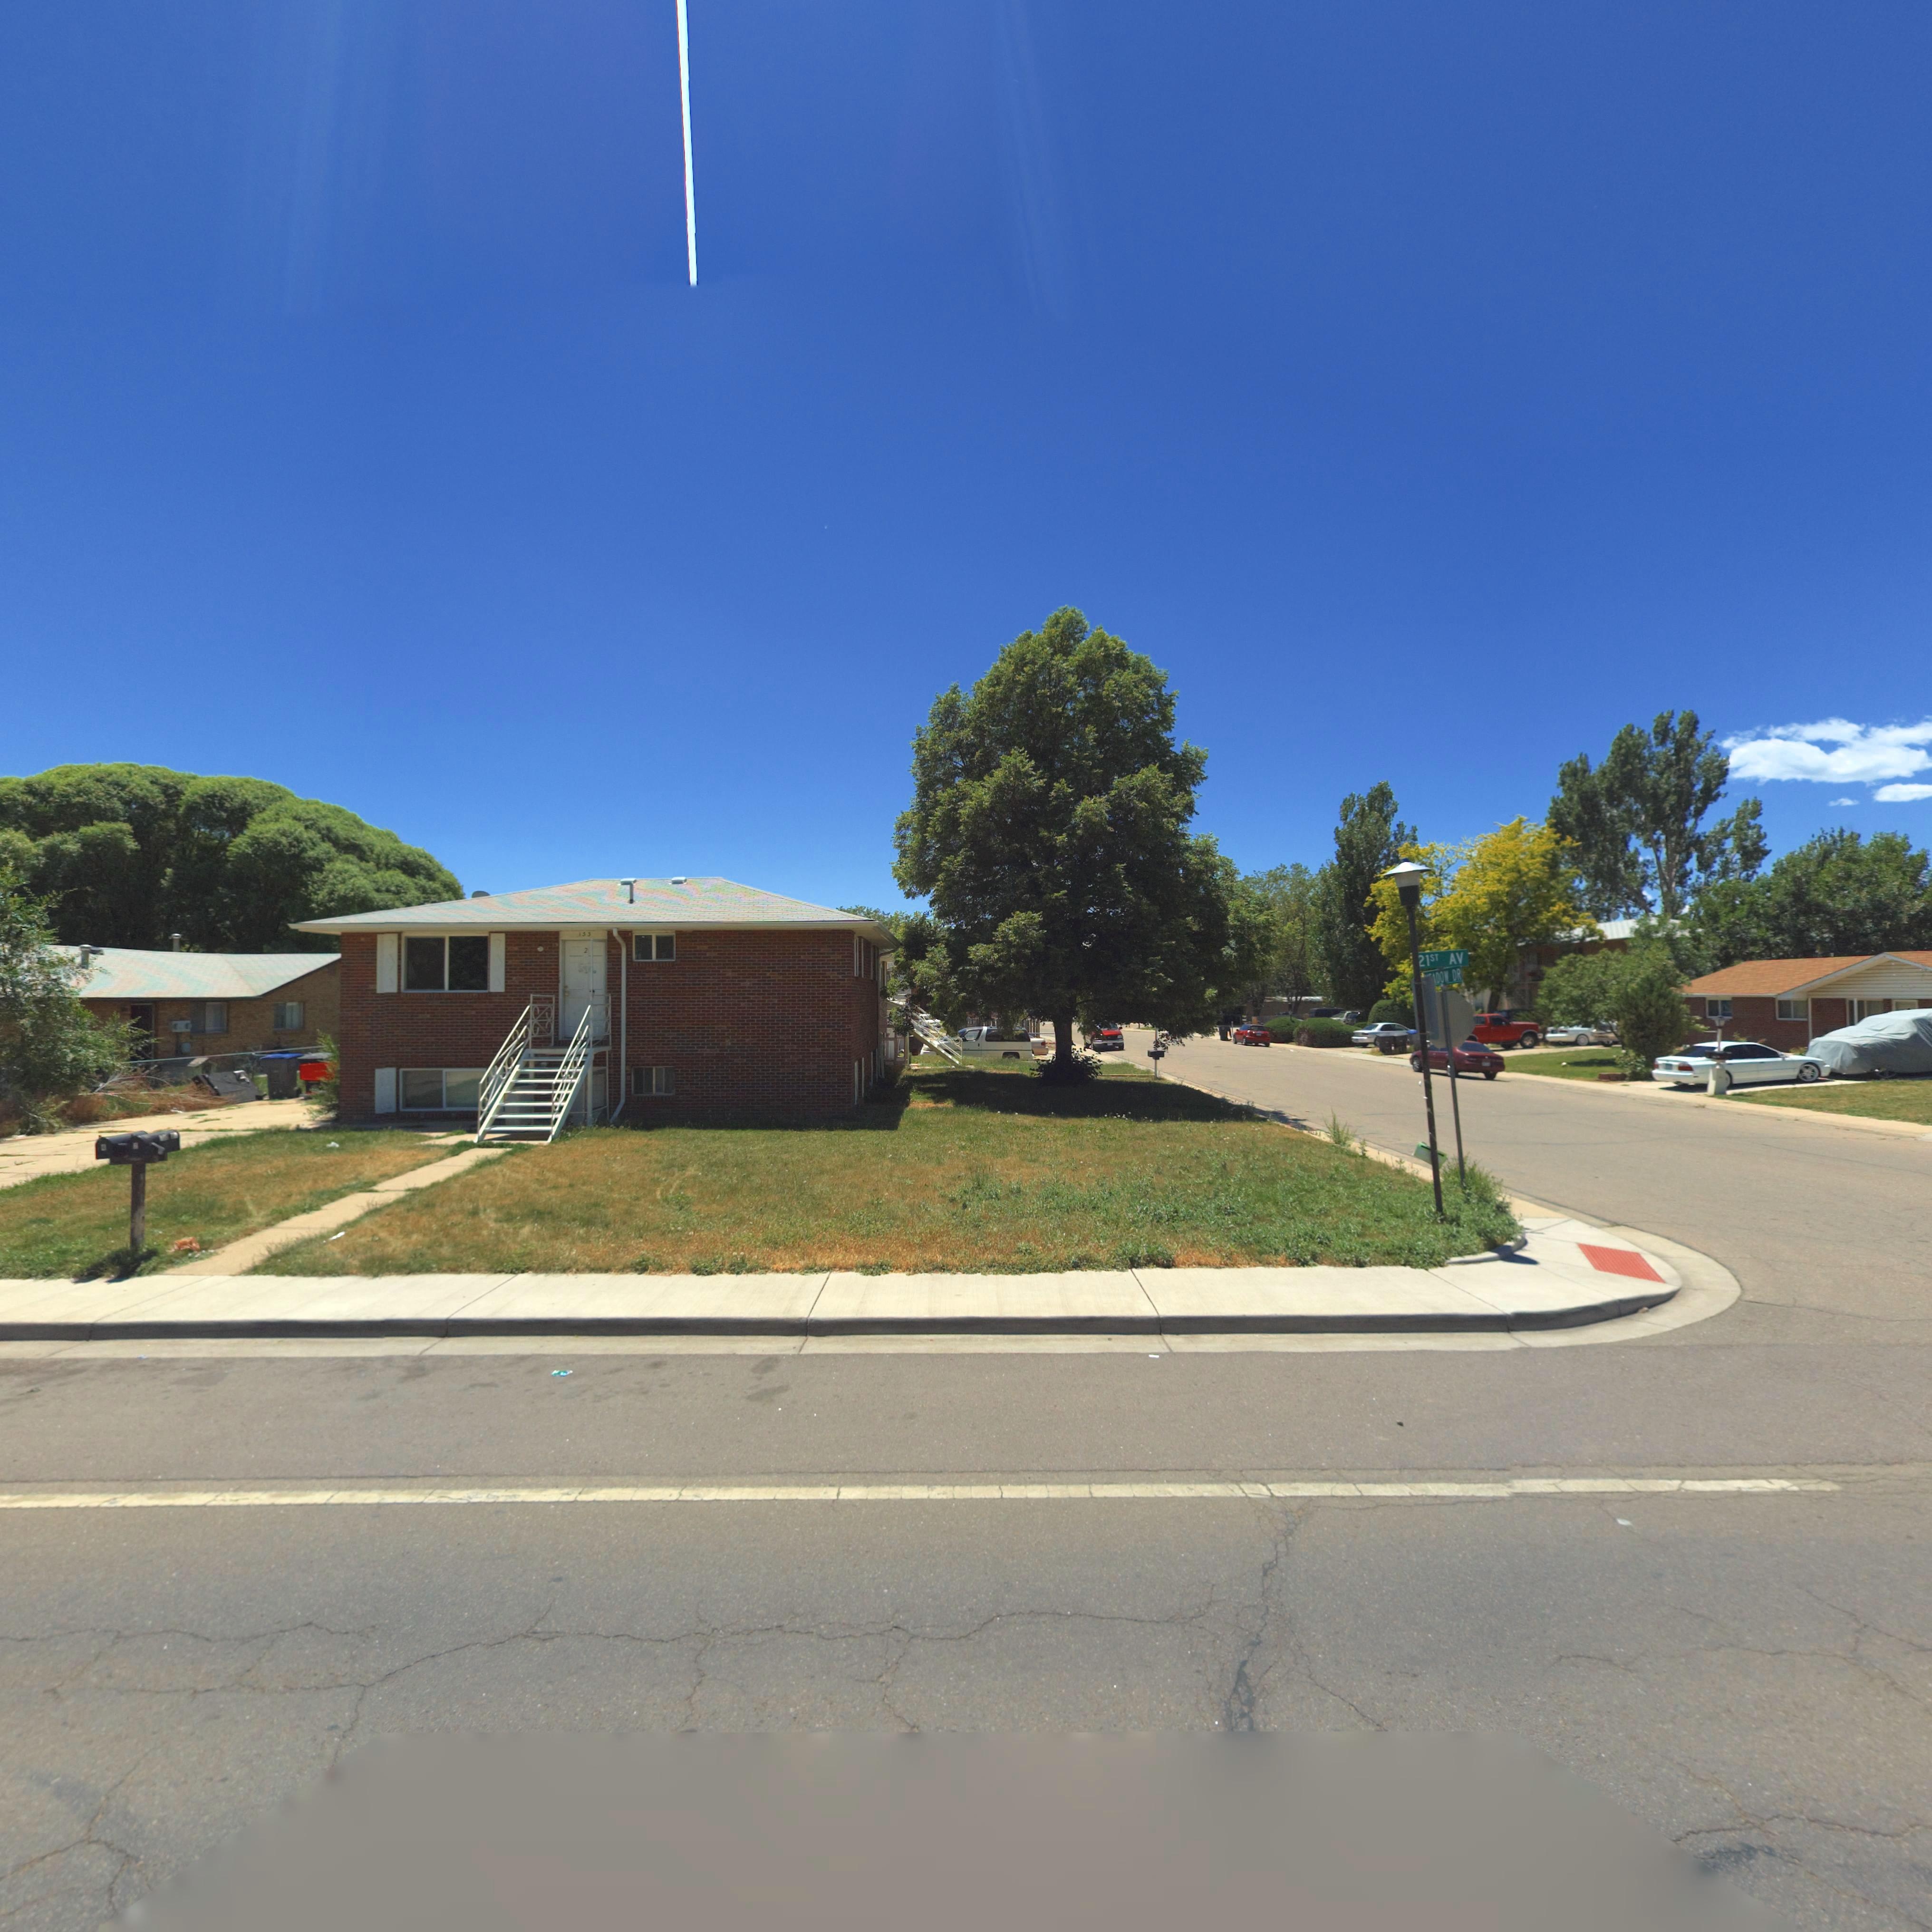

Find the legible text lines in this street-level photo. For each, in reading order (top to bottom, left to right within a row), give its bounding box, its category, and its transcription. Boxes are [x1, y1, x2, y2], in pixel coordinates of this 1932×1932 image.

[578, 931, 591, 936] StreetNumber: 133
[583, 947, 588, 953] StreetNumber: 2
[1418, 951, 1464, 967] StreetName: 21ST AV
[1424, 967, 1462, 985] StreetName: ***DOW DR
[101, 1143, 106, 1150] StreetNumber: 4
[133, 1143, 138, 1150] StreetNumber: 2